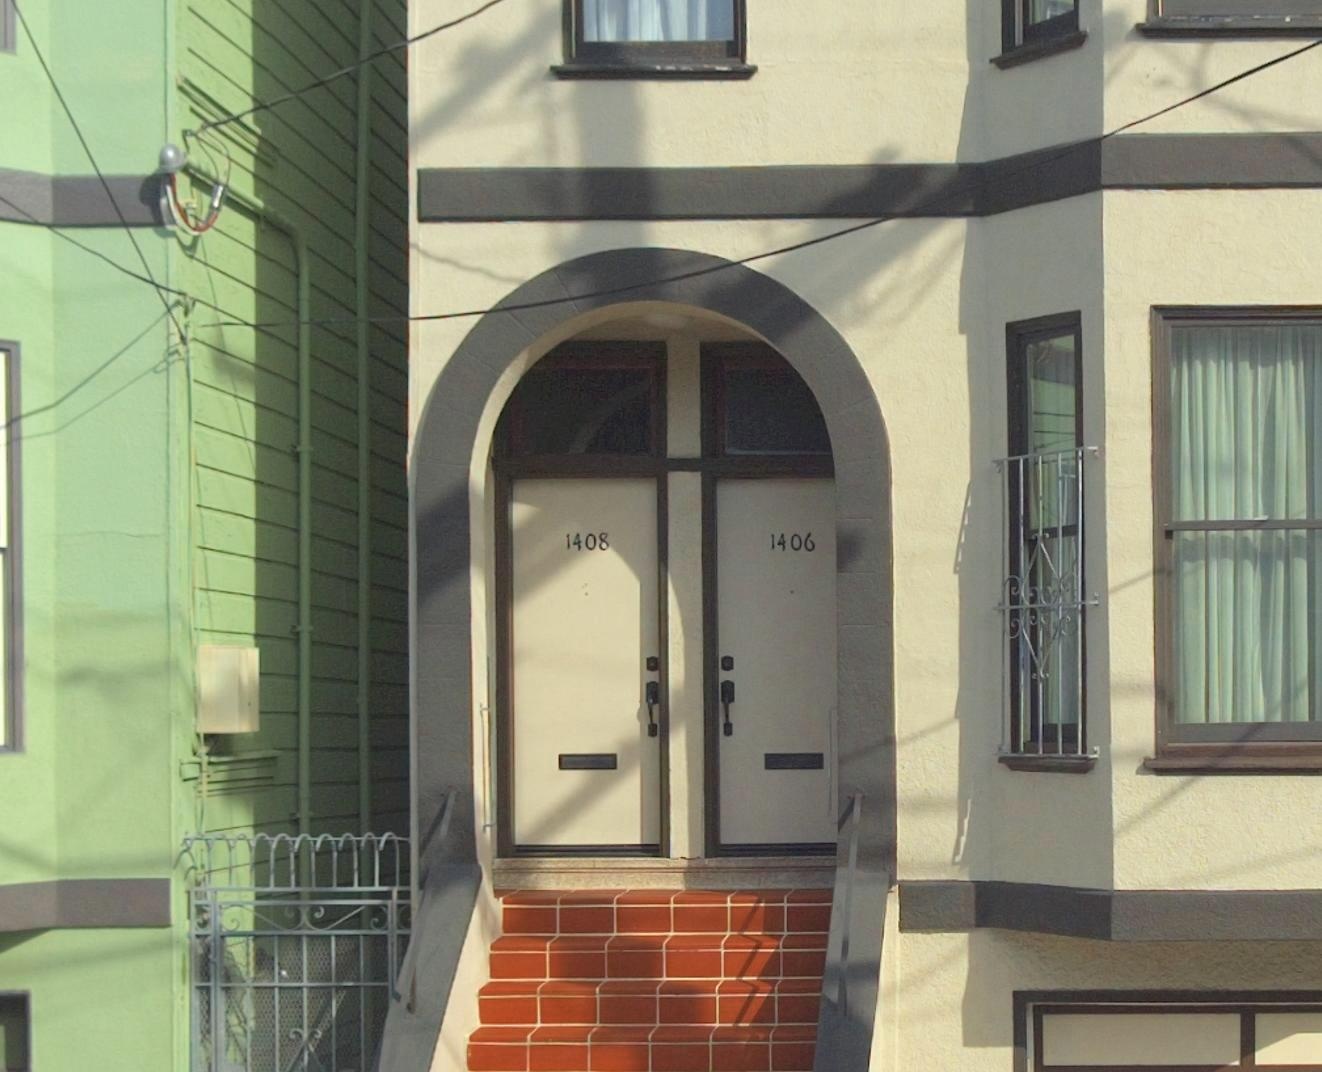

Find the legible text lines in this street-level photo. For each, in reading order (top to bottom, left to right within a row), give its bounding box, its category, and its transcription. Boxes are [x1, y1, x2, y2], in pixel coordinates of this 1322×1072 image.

[562, 528, 612, 554] StreetNumber: 1408
[767, 529, 819, 555] StreetNumber: 1406